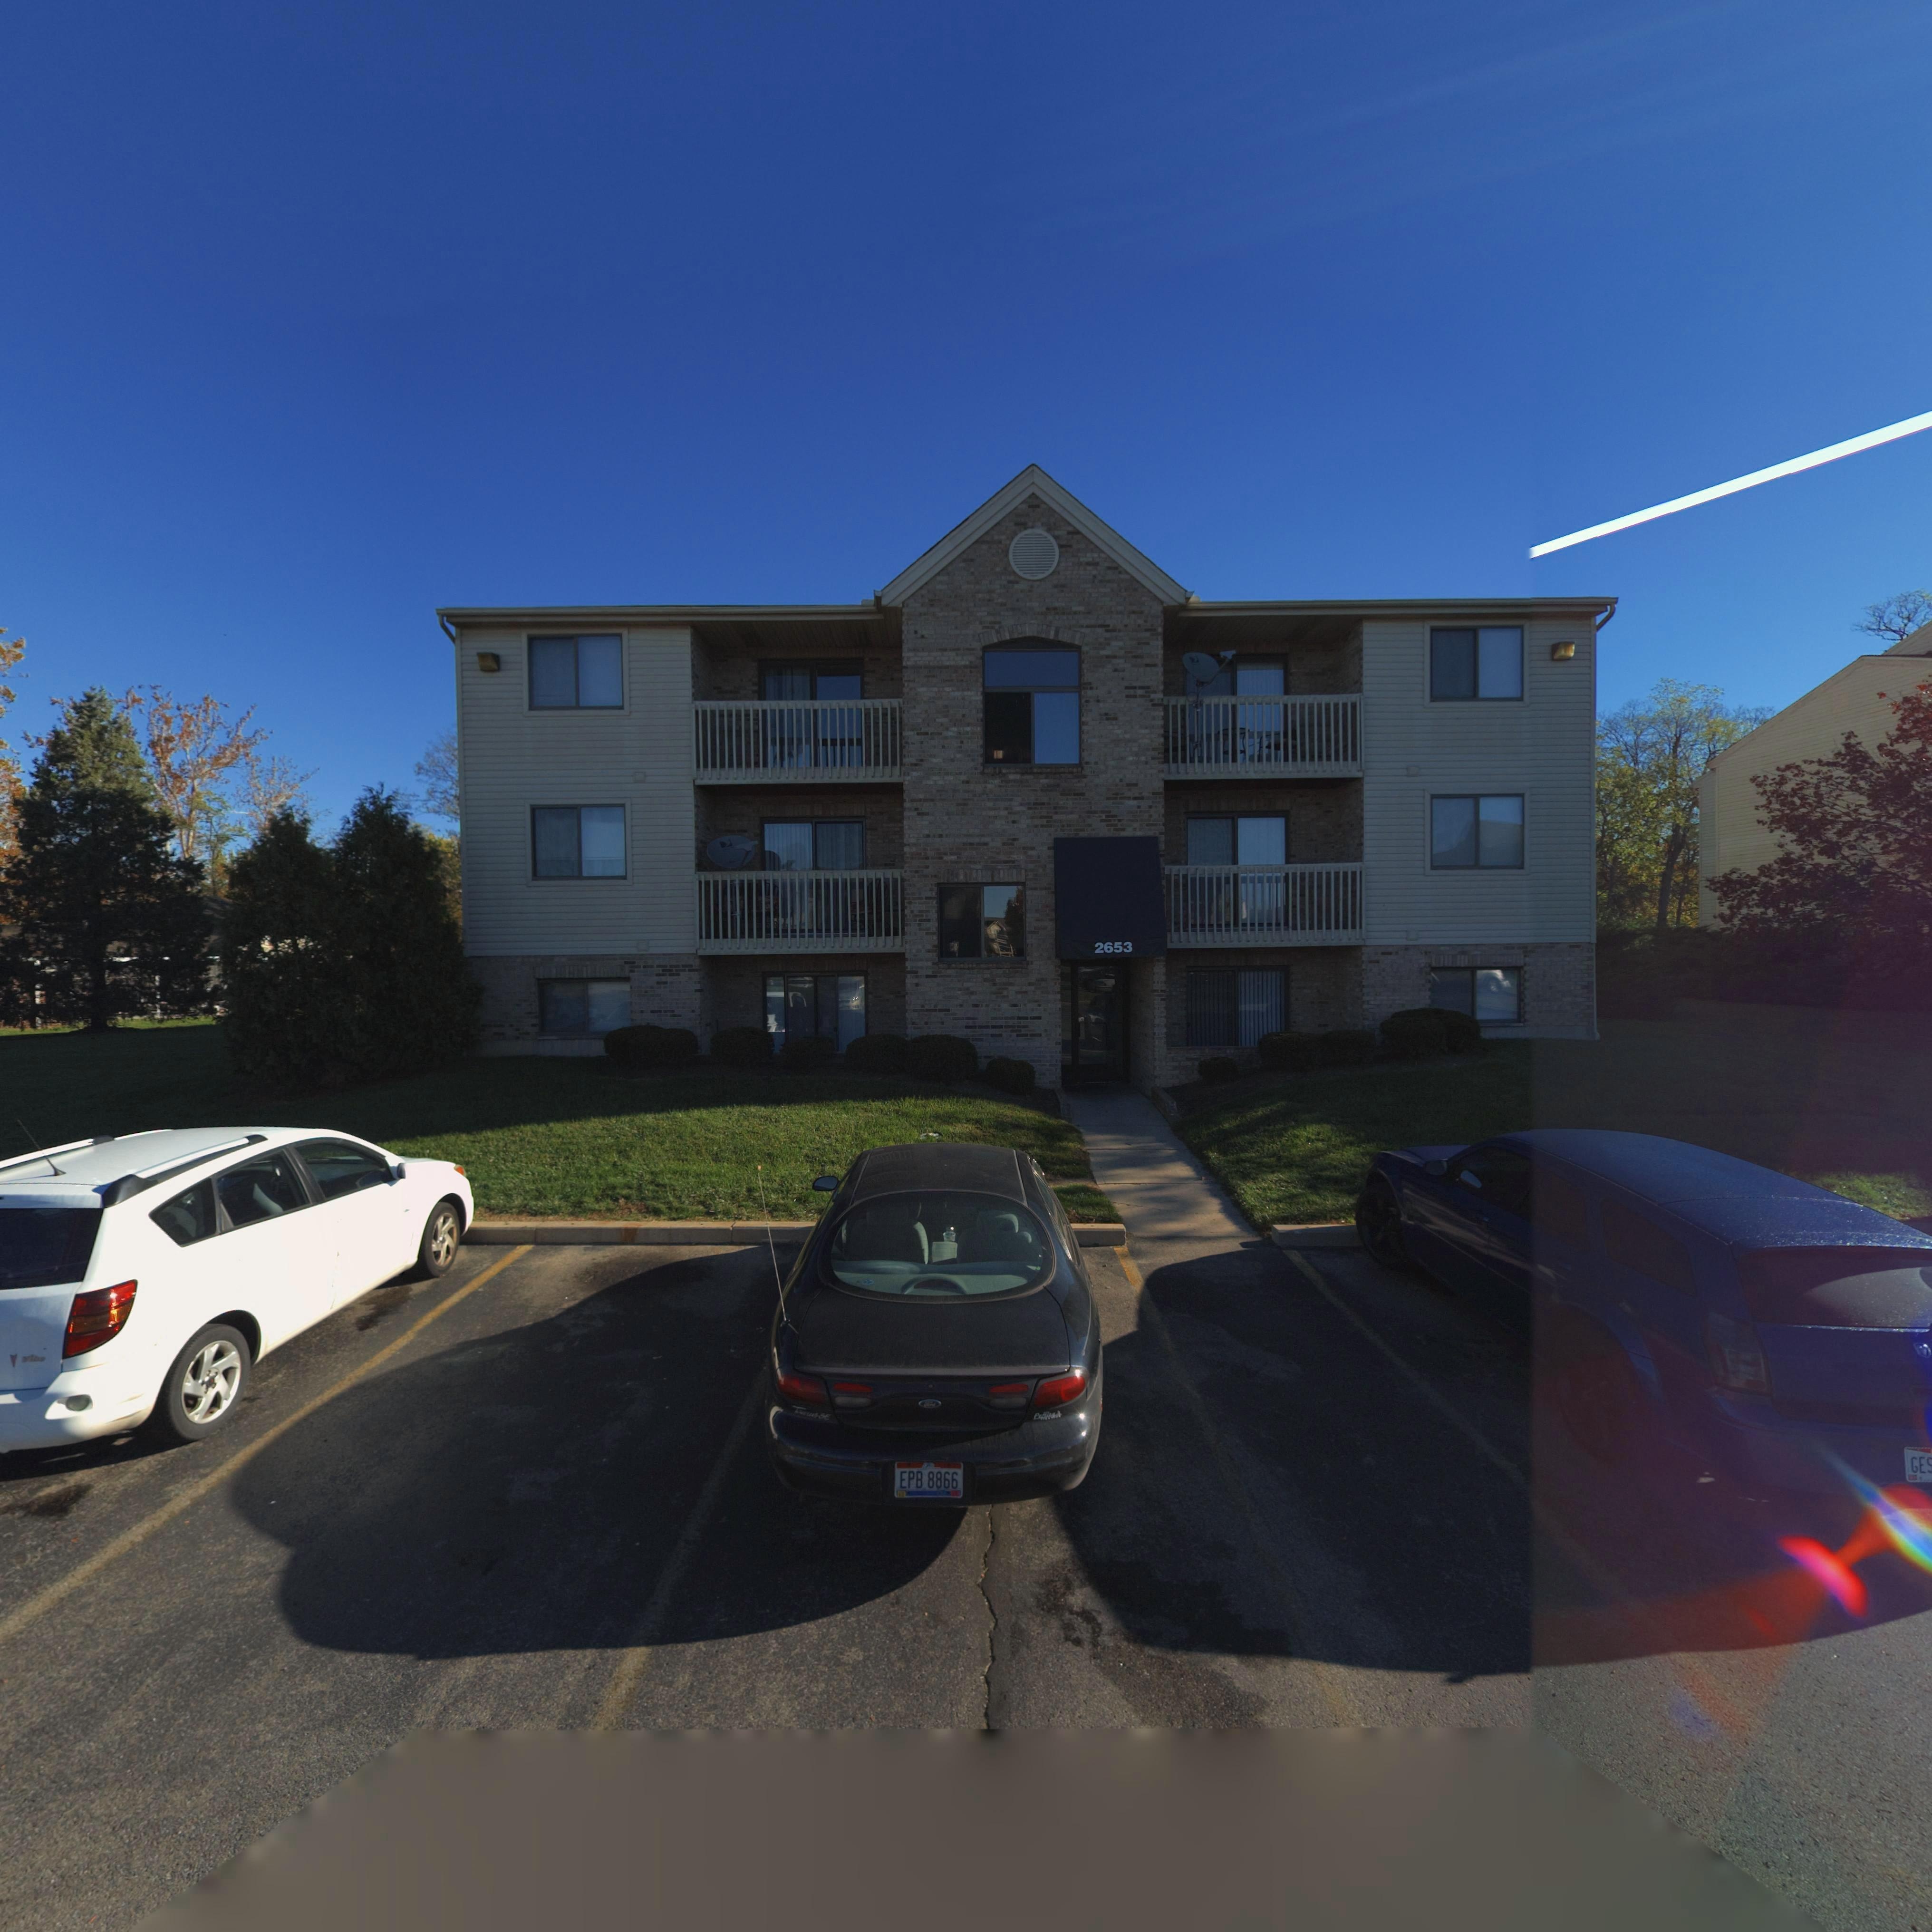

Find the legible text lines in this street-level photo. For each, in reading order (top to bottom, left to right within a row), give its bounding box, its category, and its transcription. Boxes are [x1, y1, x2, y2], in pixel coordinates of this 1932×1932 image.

[1094, 941, 1133, 954] StreetNumber: 2653